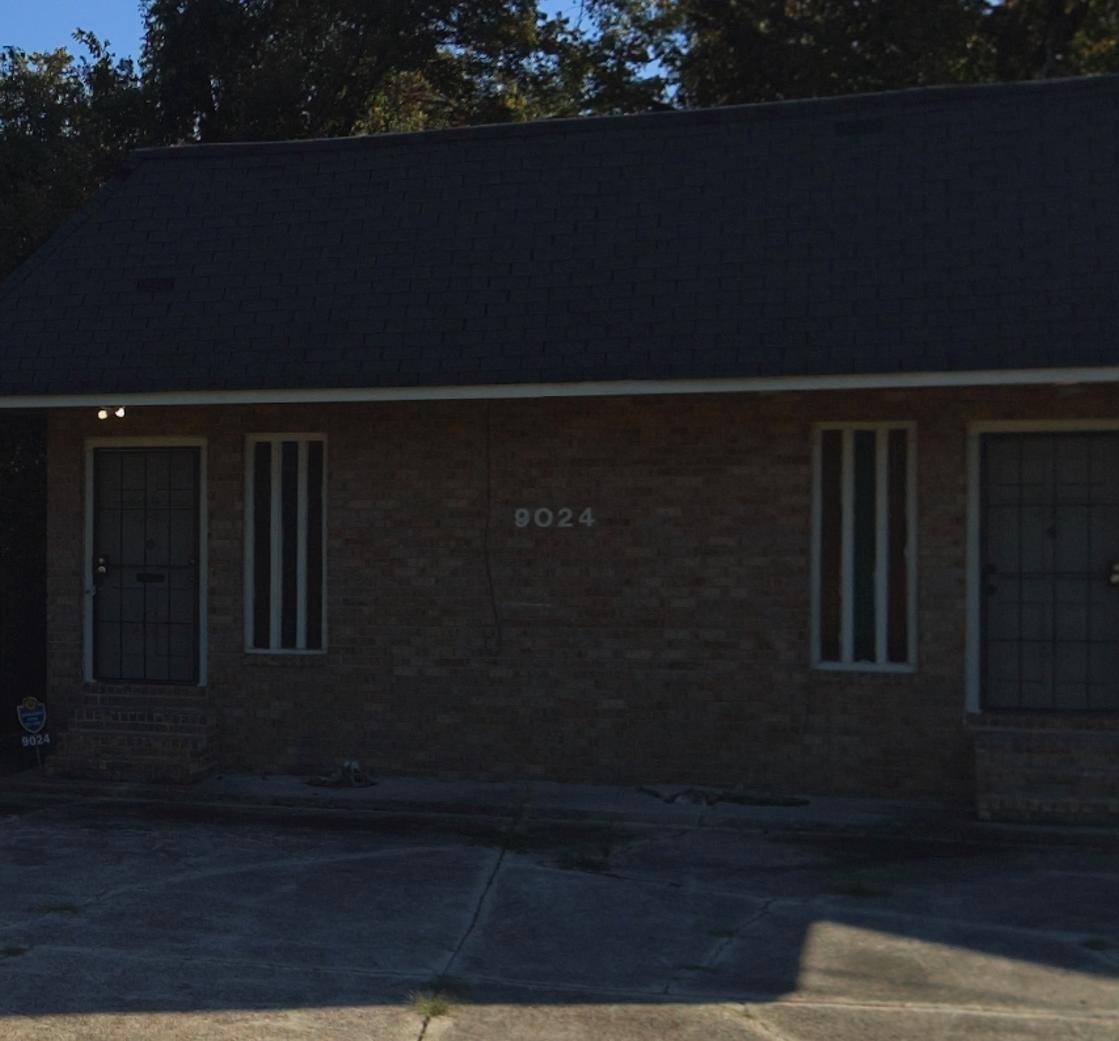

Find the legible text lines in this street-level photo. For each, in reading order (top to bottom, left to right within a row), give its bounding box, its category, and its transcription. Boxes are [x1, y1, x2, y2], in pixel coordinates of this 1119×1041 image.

[510, 502, 598, 532] StreetNumber: 9024
[17, 731, 54, 750] StreetNumber: 9024